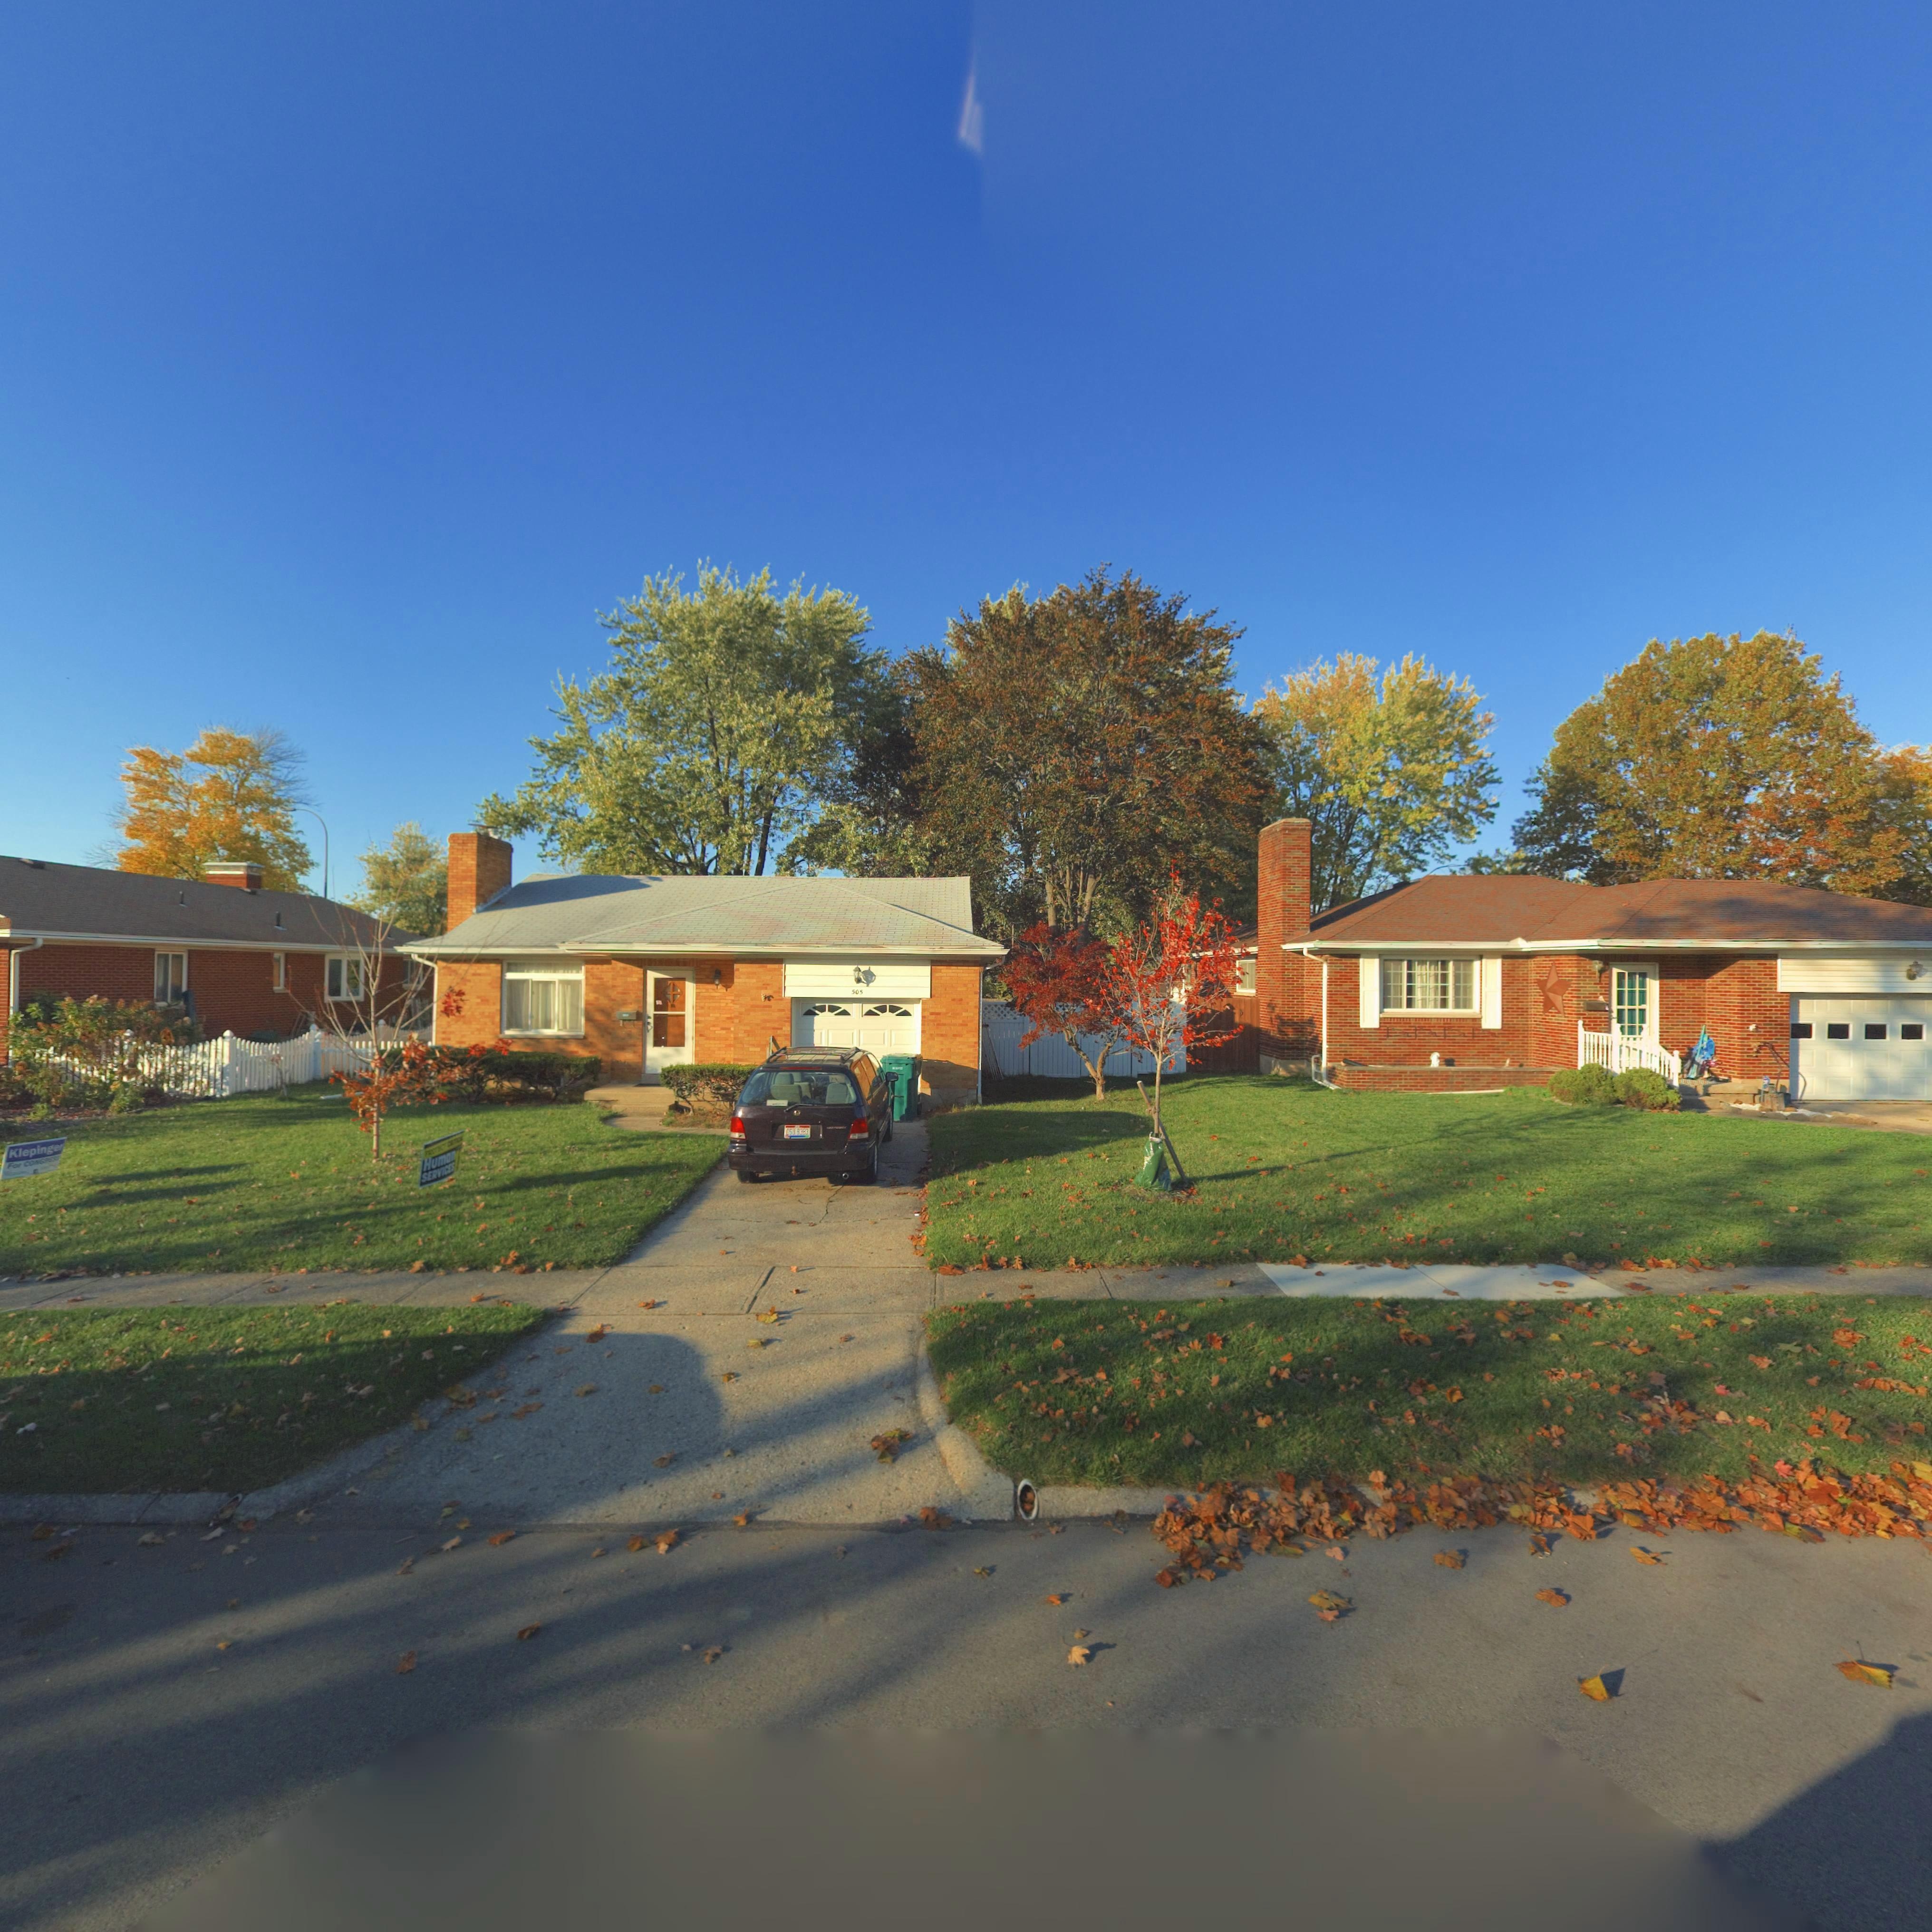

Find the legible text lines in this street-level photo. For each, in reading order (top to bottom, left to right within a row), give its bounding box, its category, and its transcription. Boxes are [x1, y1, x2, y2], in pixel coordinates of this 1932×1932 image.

[851, 989, 863, 995] StreetNumber: 505